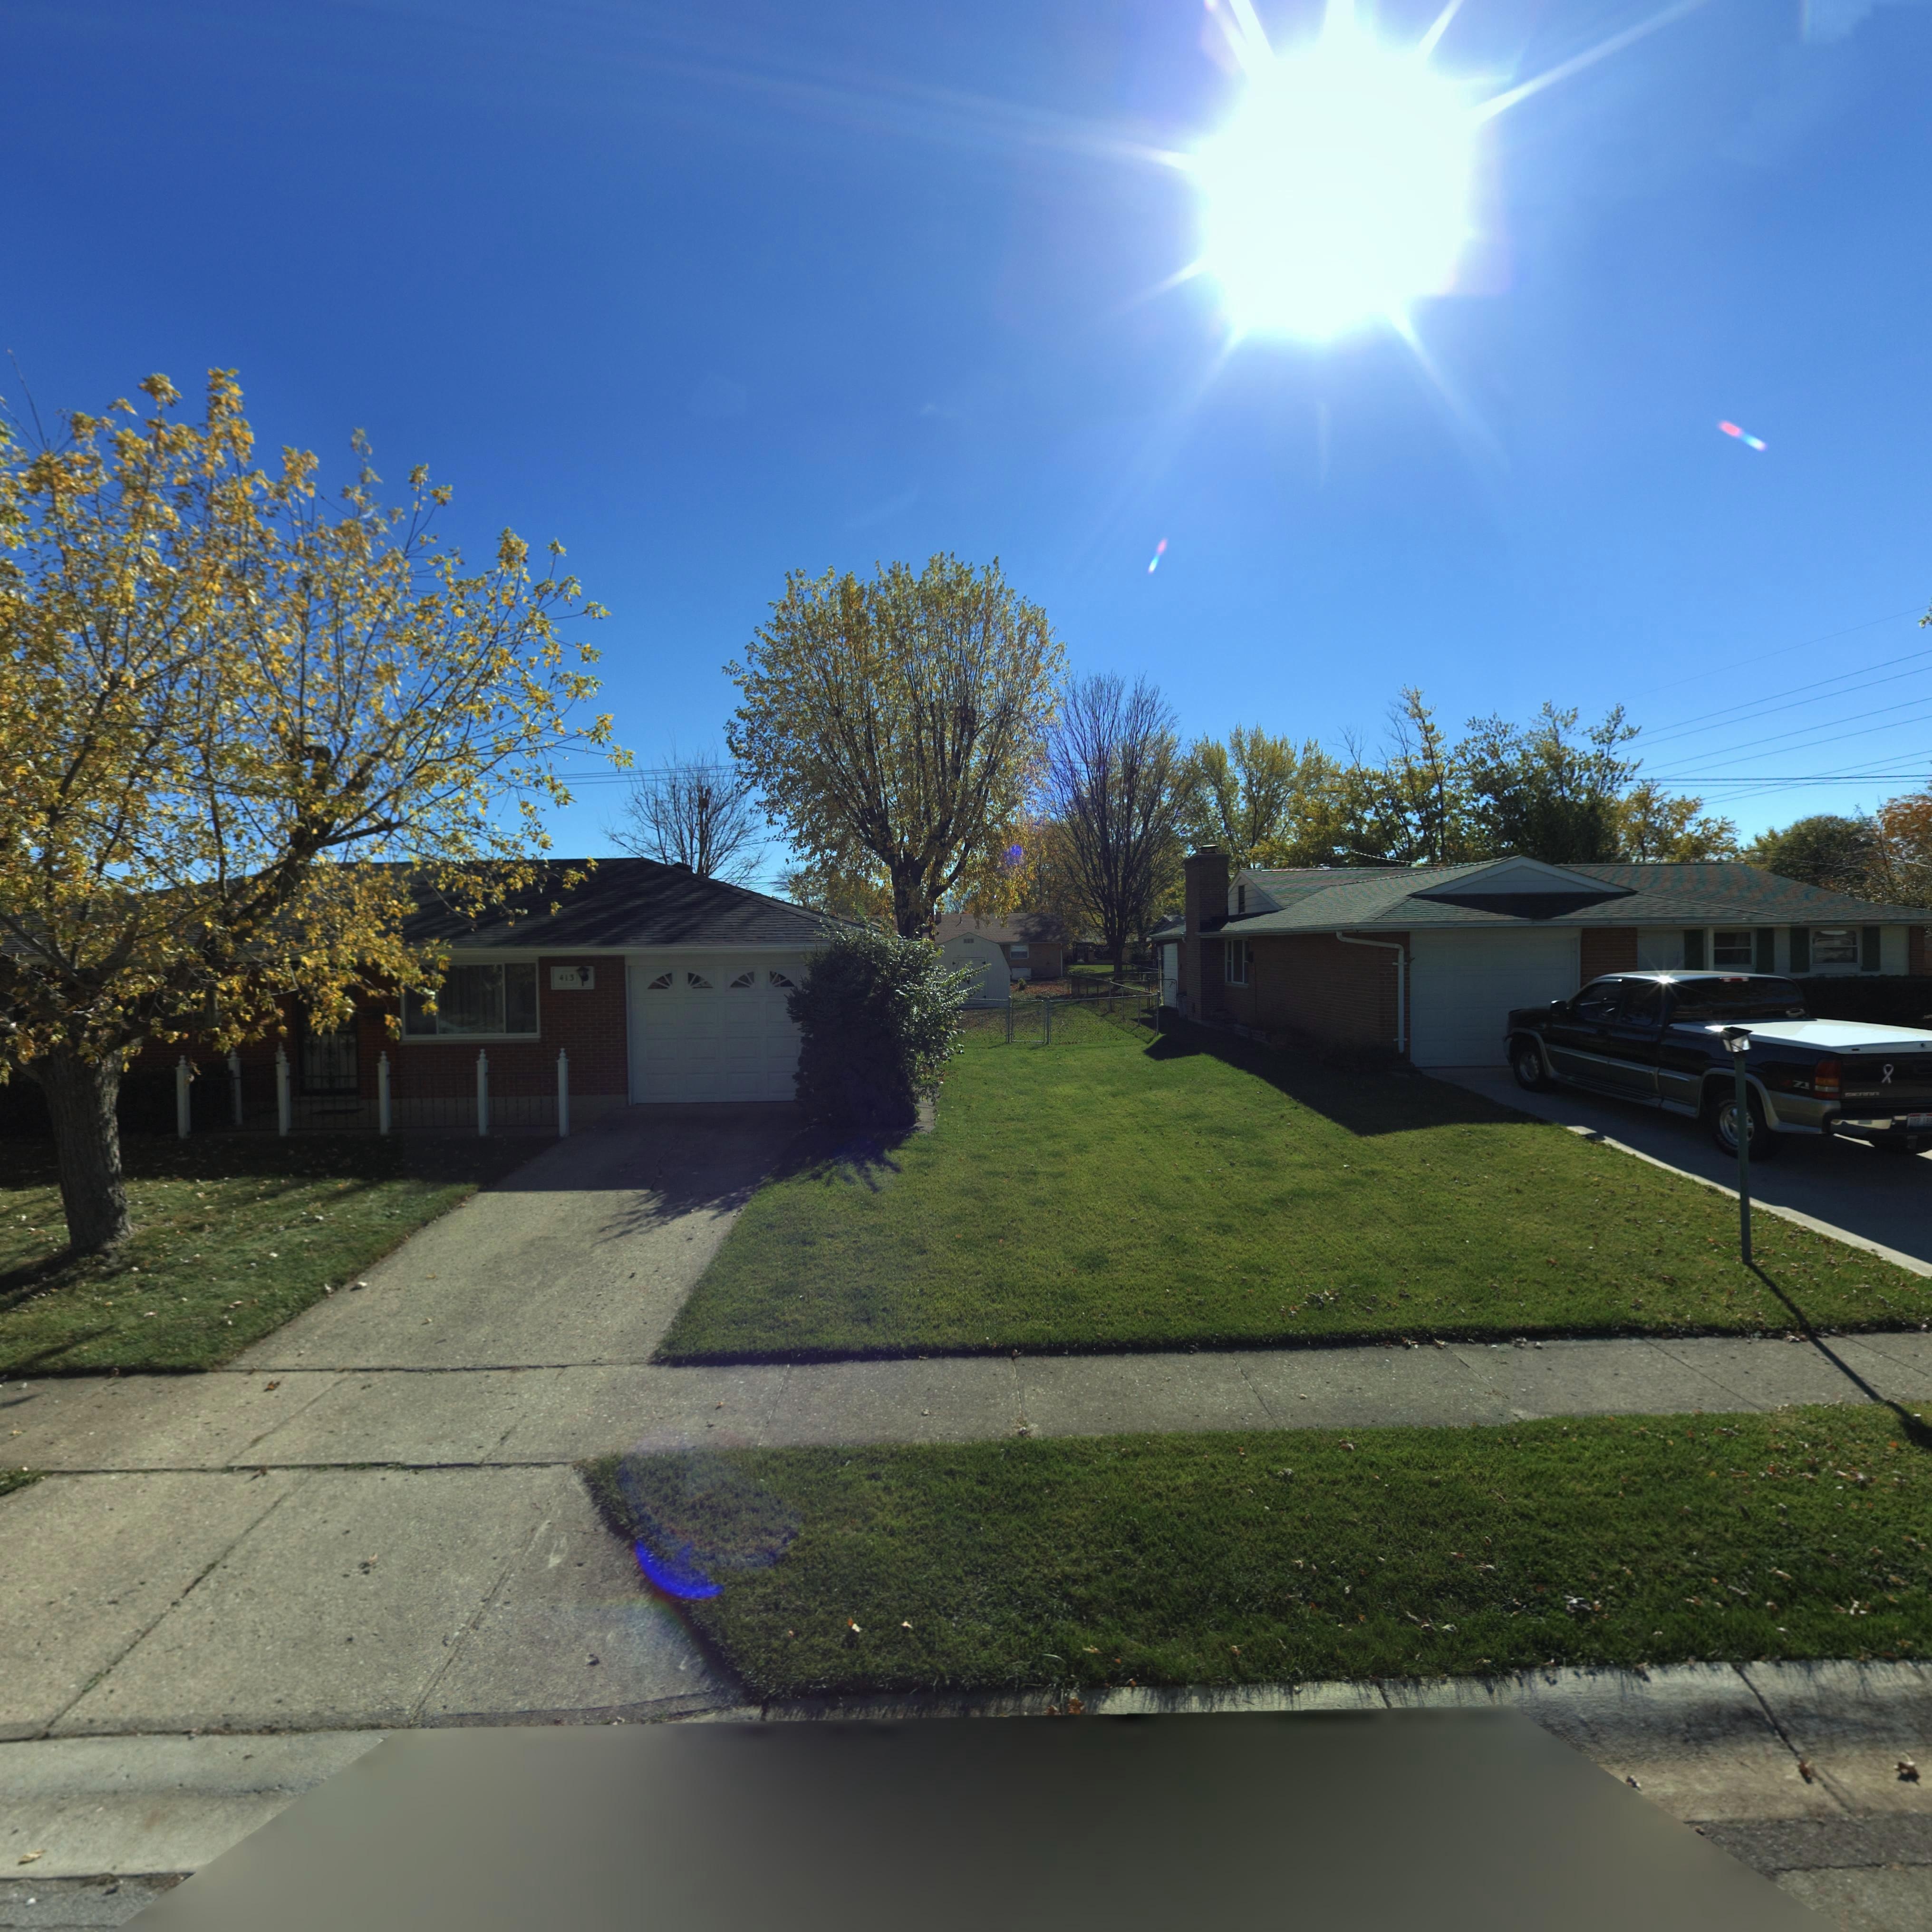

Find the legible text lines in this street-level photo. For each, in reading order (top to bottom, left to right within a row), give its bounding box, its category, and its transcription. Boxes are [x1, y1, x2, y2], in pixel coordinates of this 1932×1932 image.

[558, 973, 576, 983] StreetNumber: 413